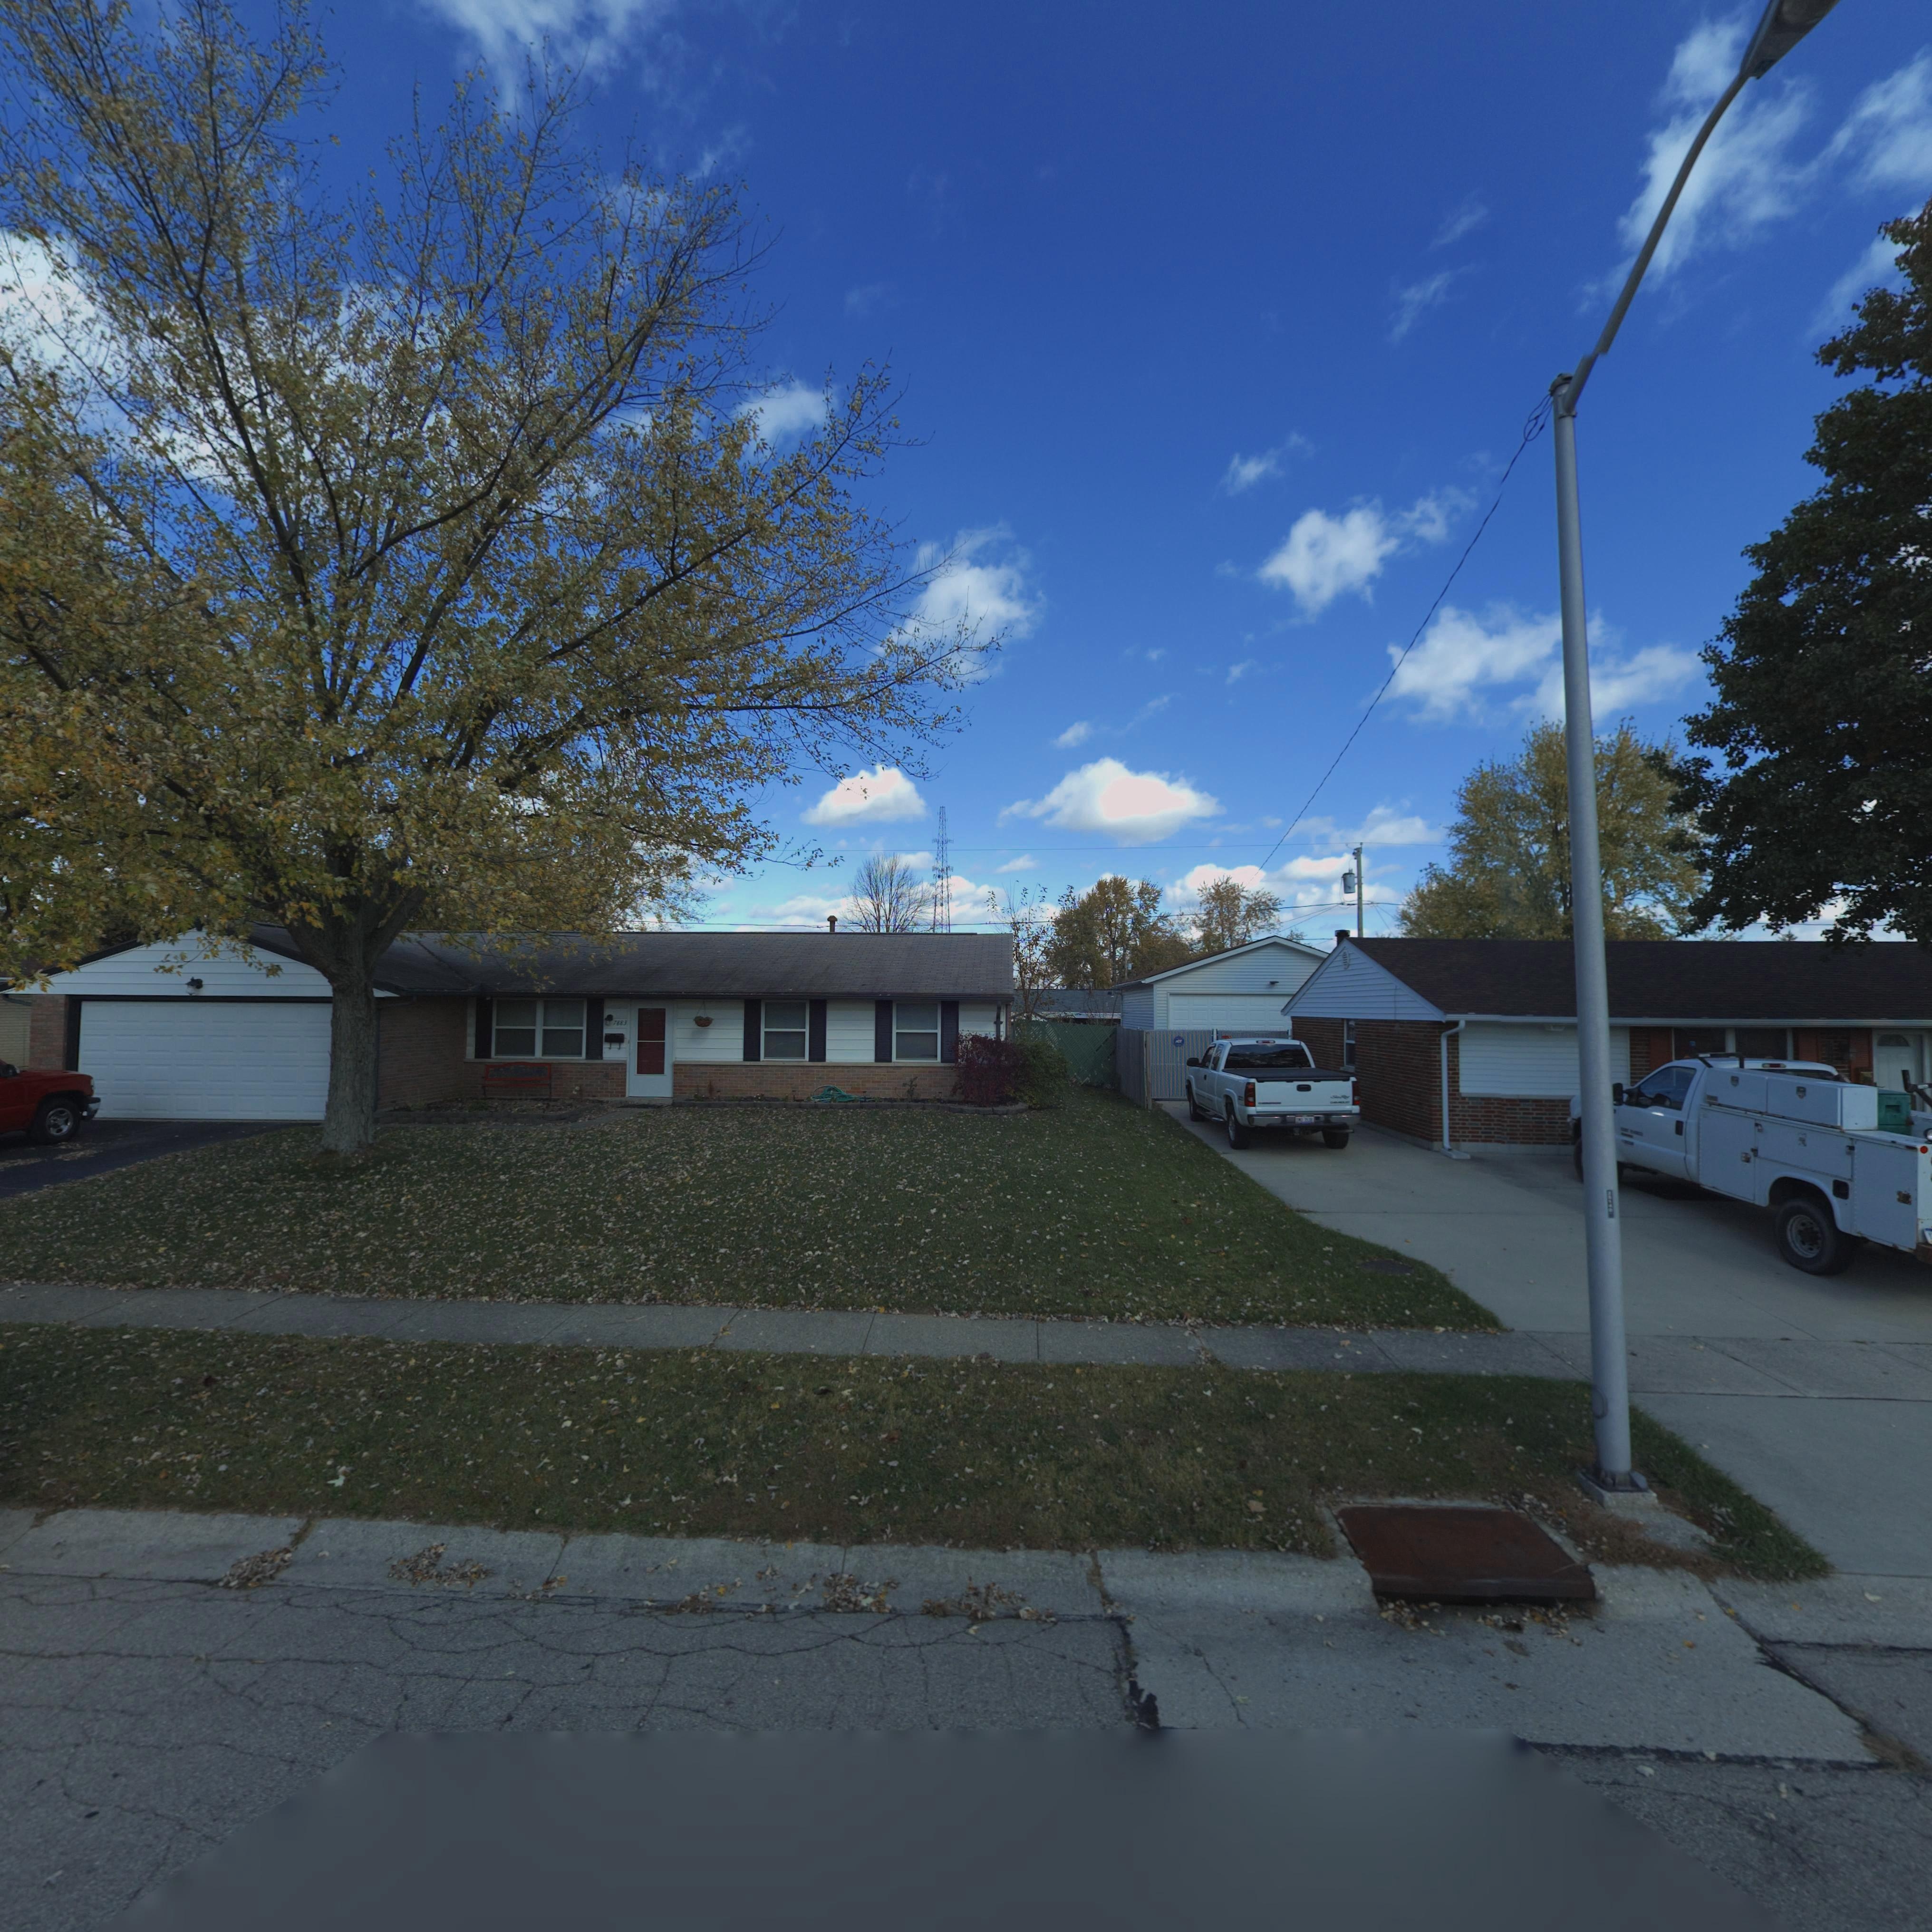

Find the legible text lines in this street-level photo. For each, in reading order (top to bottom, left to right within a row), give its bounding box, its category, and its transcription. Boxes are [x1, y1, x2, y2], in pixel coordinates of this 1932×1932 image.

[612, 1019, 628, 1026] StreetNumber: 7883